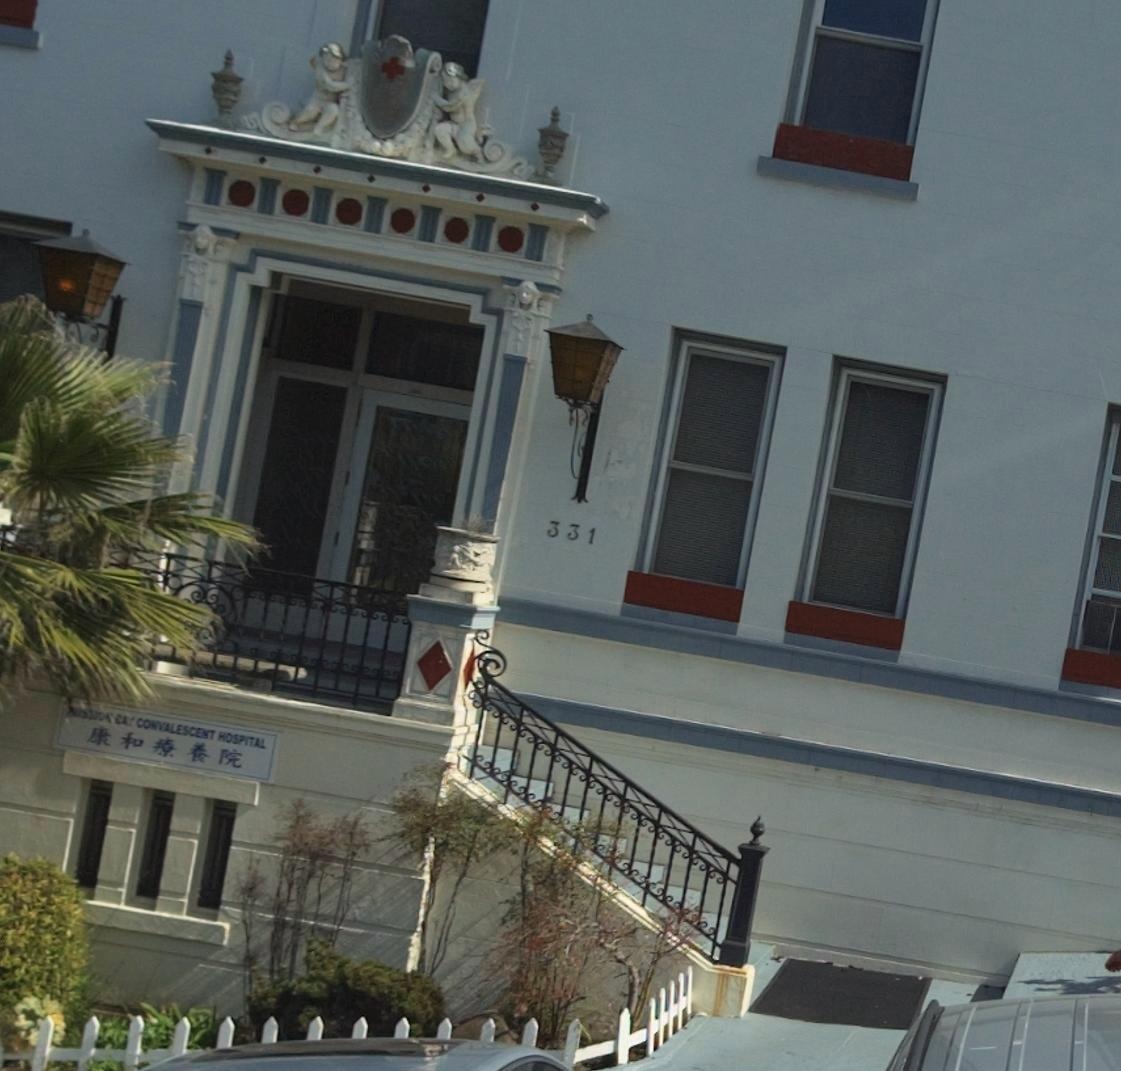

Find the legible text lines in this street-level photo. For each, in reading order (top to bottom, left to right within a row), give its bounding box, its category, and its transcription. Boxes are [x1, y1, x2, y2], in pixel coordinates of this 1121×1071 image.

[543, 517, 599, 548] StreetNumber: 331
[133, 715, 269, 752] BusinessName: CONVALESCENT HOSPITAL